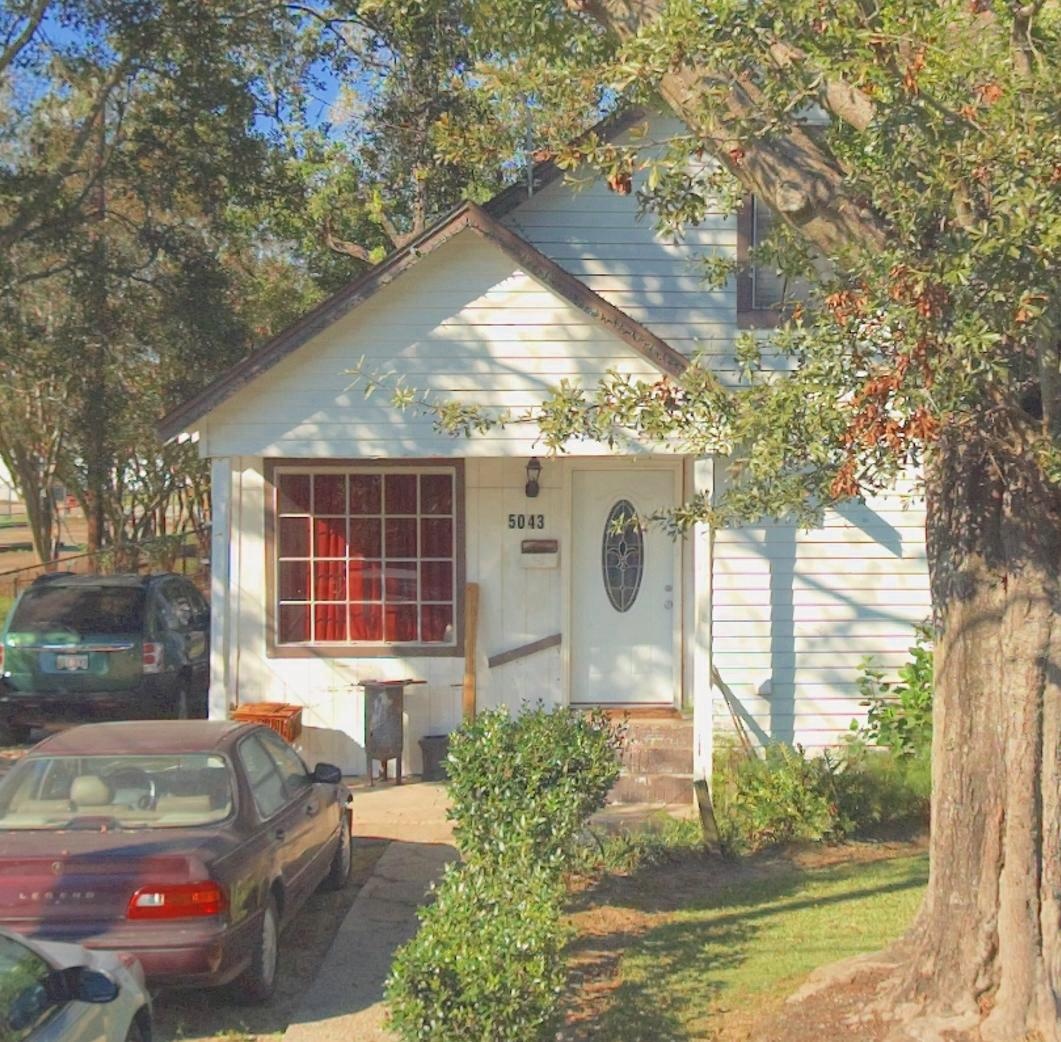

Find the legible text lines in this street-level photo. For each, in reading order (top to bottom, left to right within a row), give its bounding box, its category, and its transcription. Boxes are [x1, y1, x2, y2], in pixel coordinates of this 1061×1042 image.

[506, 512, 546, 530] StreetNumber: 5043
[17, 890, 95, 901] None: LEGEND